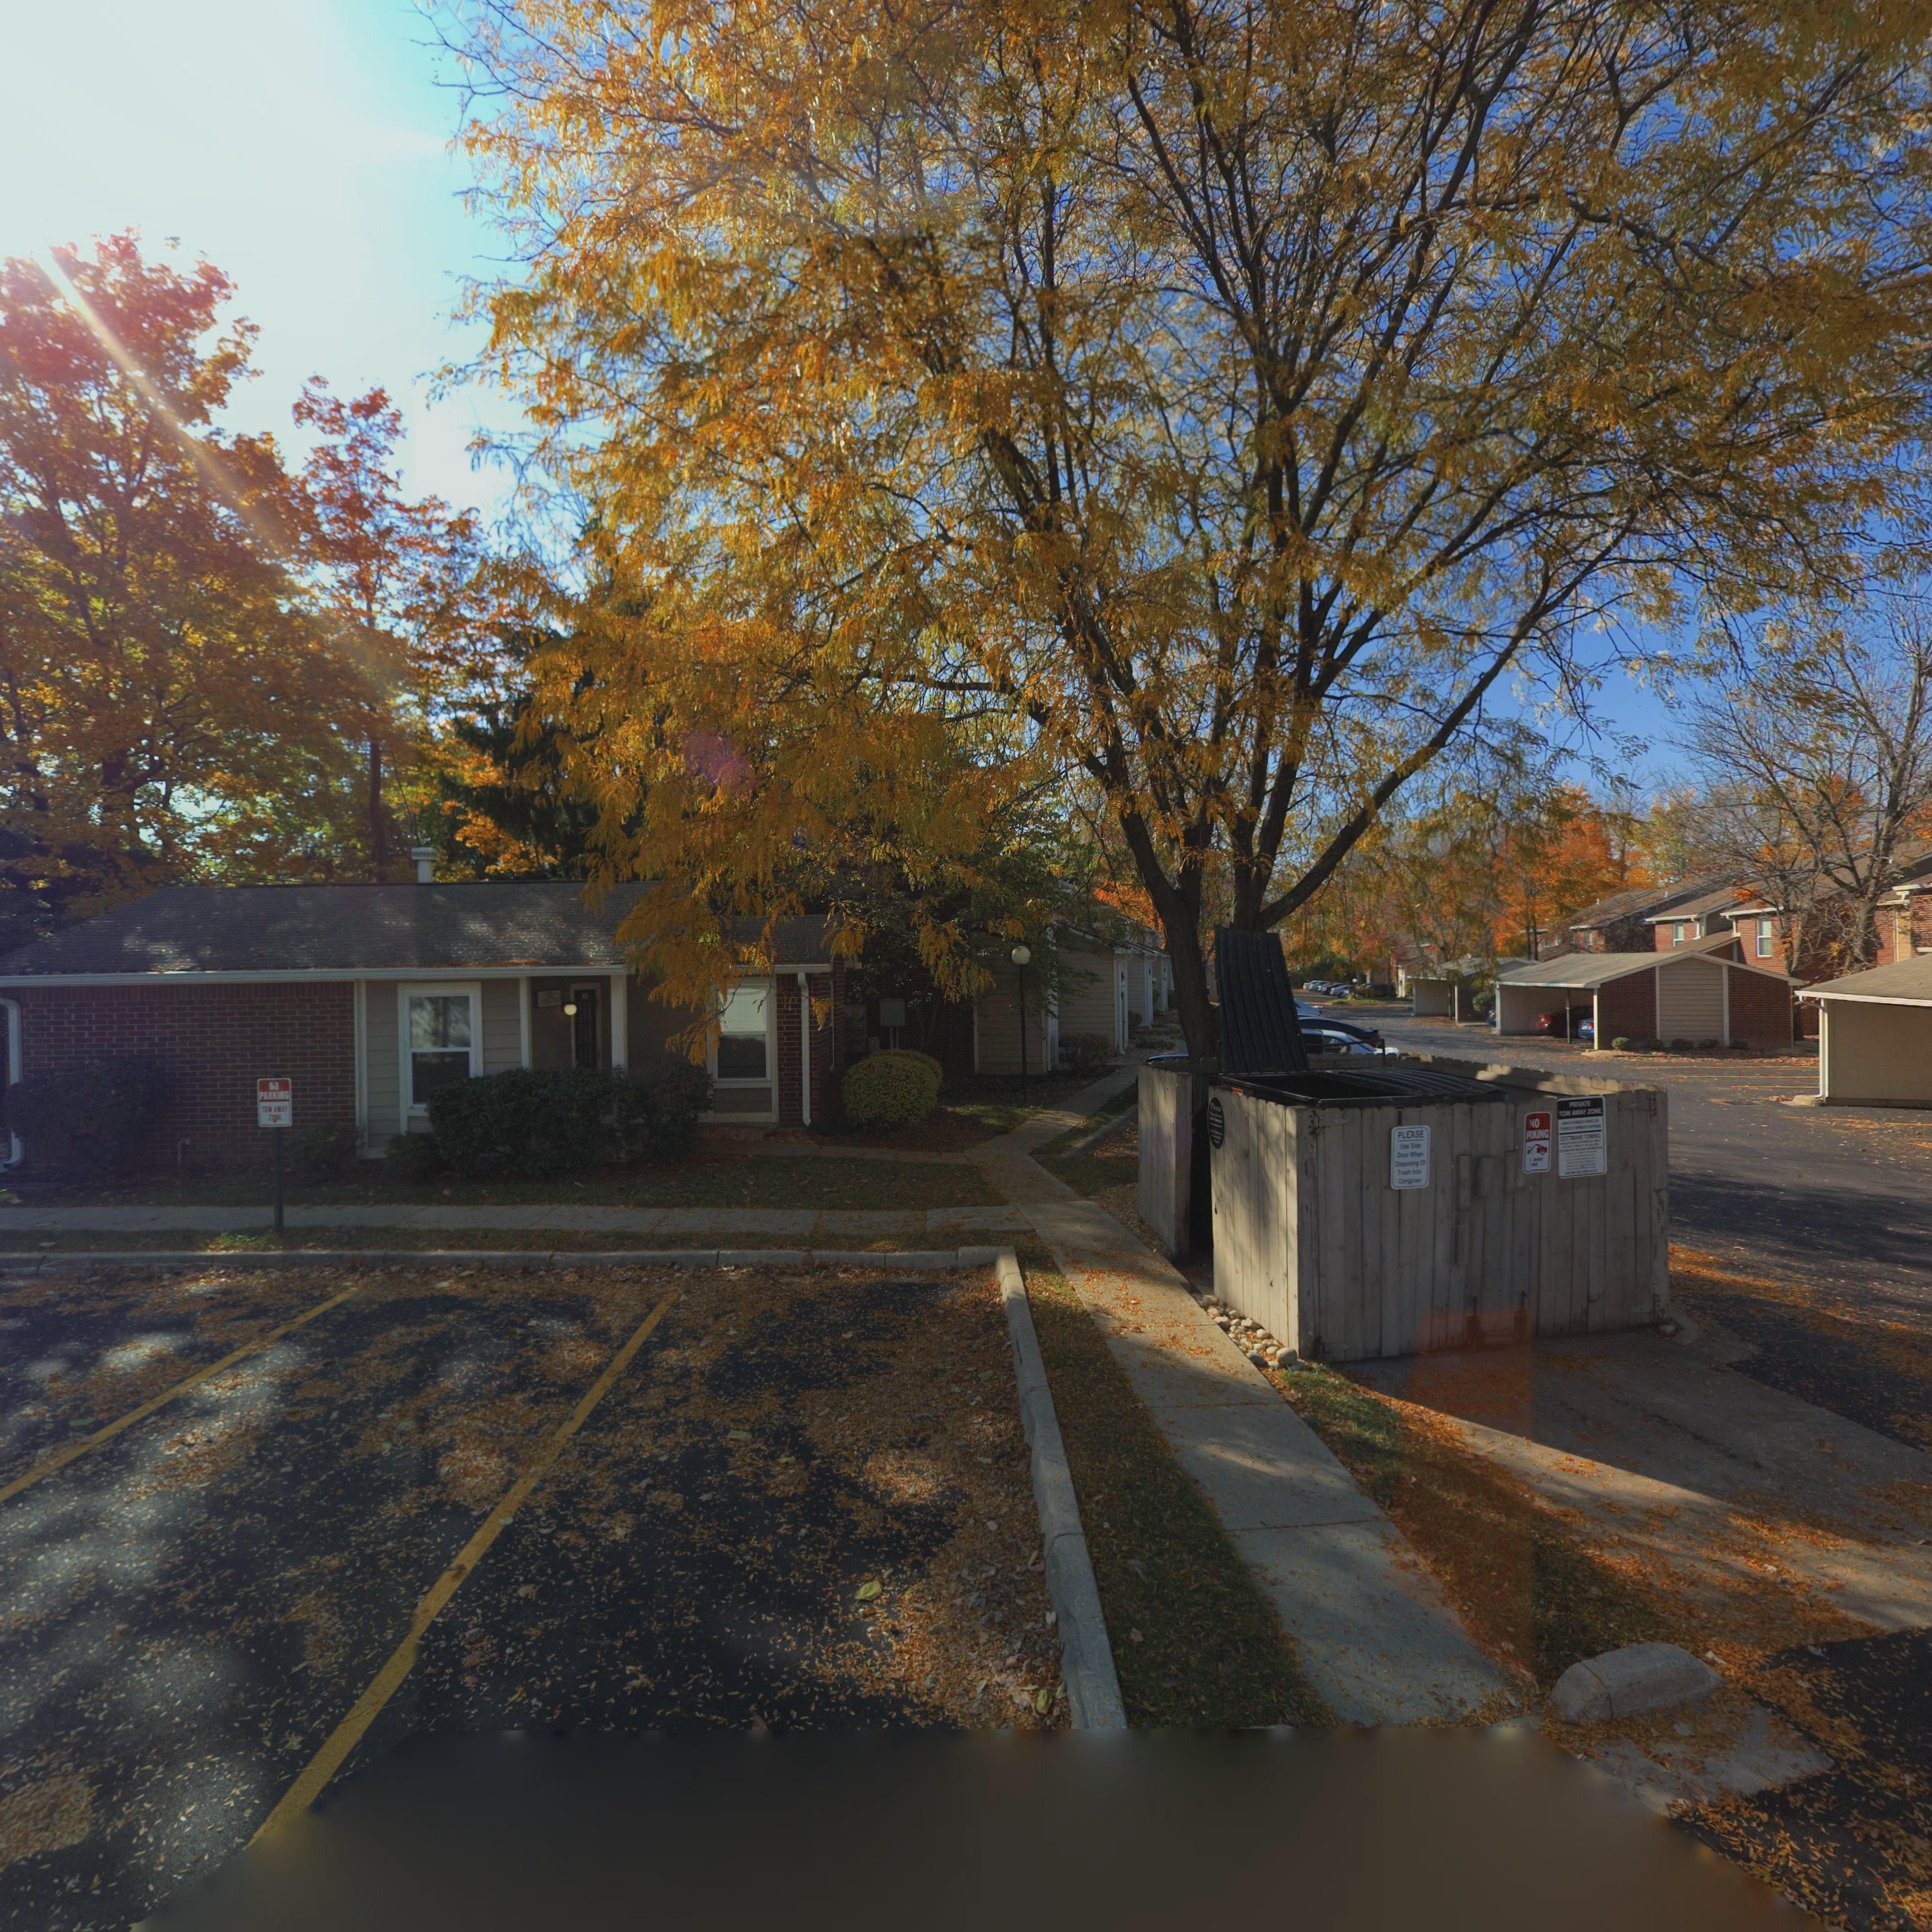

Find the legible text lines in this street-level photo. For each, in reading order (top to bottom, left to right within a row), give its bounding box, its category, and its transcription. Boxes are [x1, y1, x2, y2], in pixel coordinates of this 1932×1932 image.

[258, 1090, 290, 1101] None: PARKING
[1210, 1102, 1214, 1110] None: P
[1568, 1100, 1592, 1109] None: P****TE
[1556, 1107, 1603, 1118] None: TOW AWAY ZONE
[1533, 1117, 1541, 1130] None: O
[1397, 1129, 1425, 1140] None: PLEASE
[1525, 1128, 1550, 1141] None: P*KING
[1559, 1133, 1584, 1142] None: COT****S
[1400, 1141, 1423, 1150] None: U** Sid*
[1396, 1150, 1425, 1159] None: Doo* ****
[1394, 1159, 1427, 1169] None: D***osing O*
[1396, 1168, 1423, 1177] None: T**** ***o
[1397, 1177, 1403, 1186] None: C